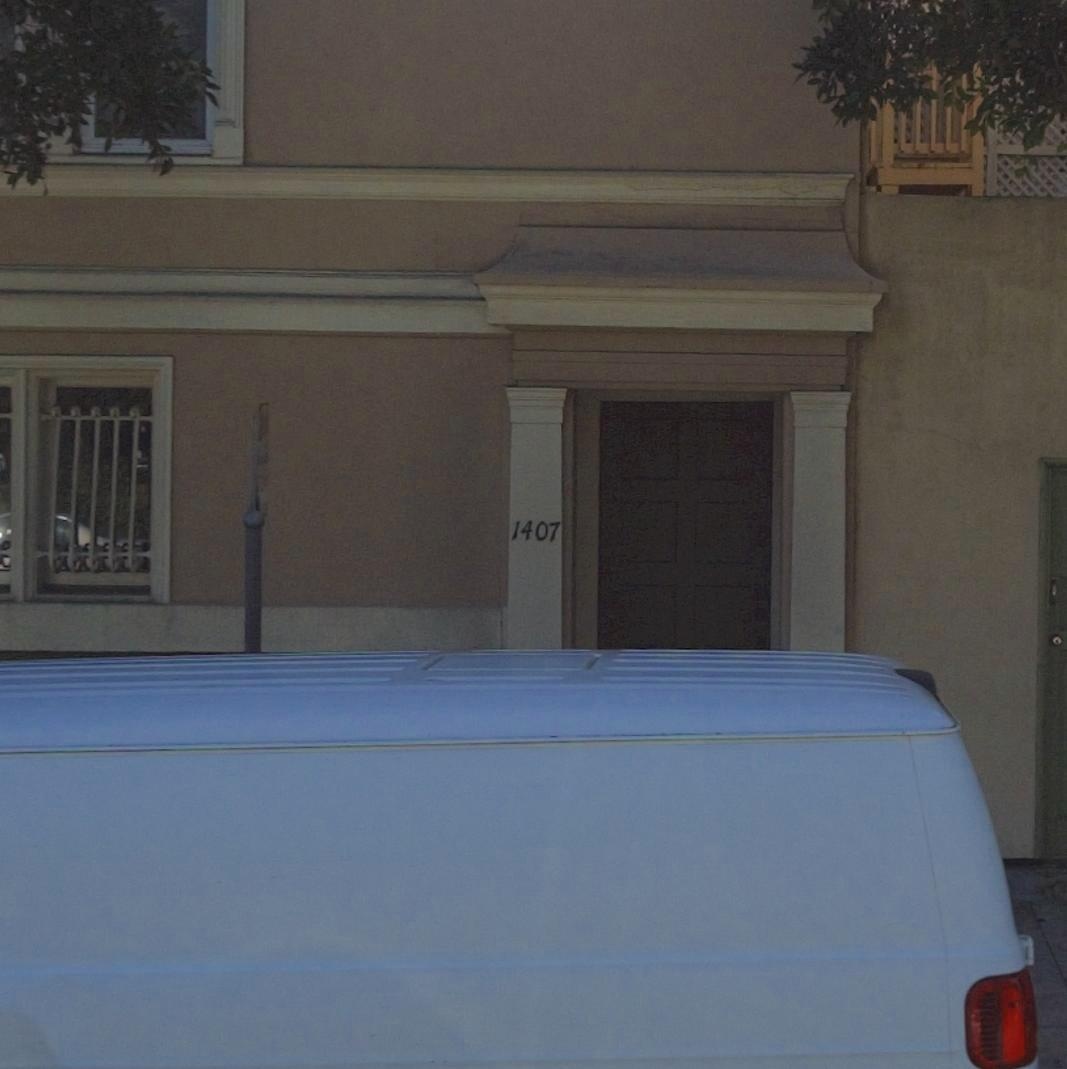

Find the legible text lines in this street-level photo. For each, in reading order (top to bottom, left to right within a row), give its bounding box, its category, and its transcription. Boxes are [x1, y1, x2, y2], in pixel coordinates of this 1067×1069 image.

[510, 520, 564, 543] StreetNumber: 1407